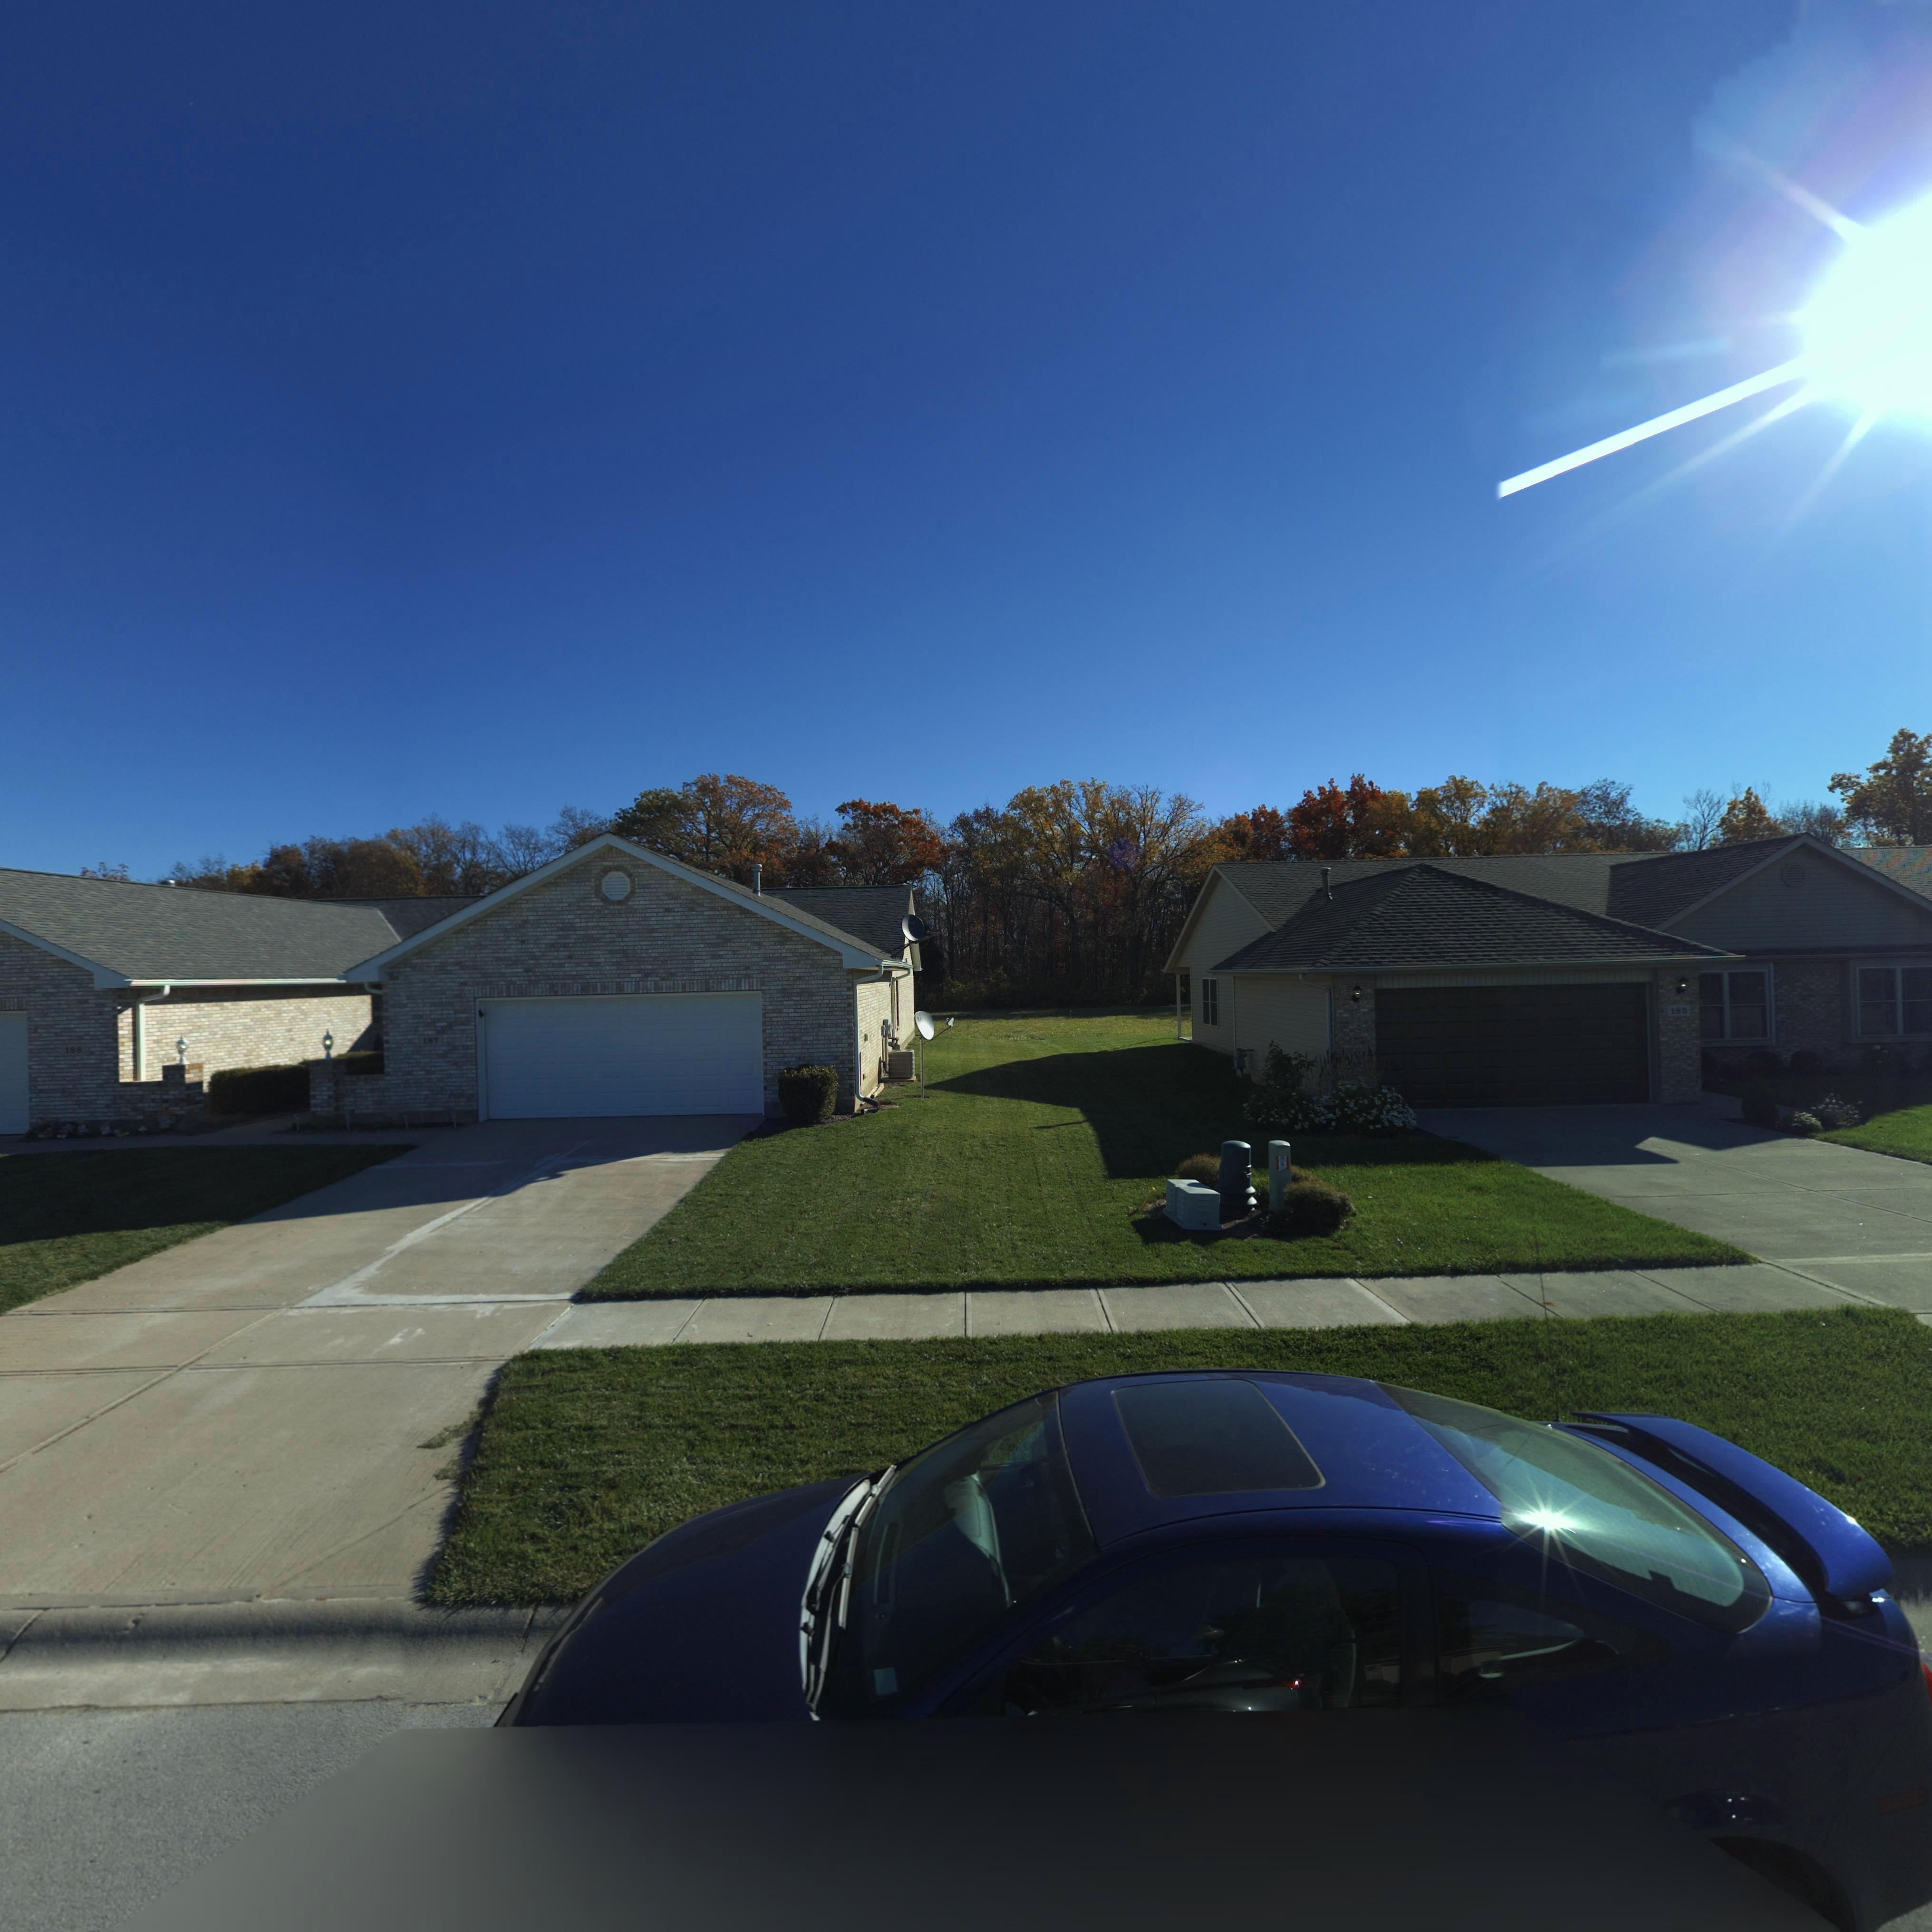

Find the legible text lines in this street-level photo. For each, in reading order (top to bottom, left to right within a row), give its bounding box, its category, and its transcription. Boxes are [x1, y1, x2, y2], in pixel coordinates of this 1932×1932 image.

[1670, 1006, 1688, 1015] StreetNumber: 185
[422, 1036, 440, 1045] StreetNumber: 187